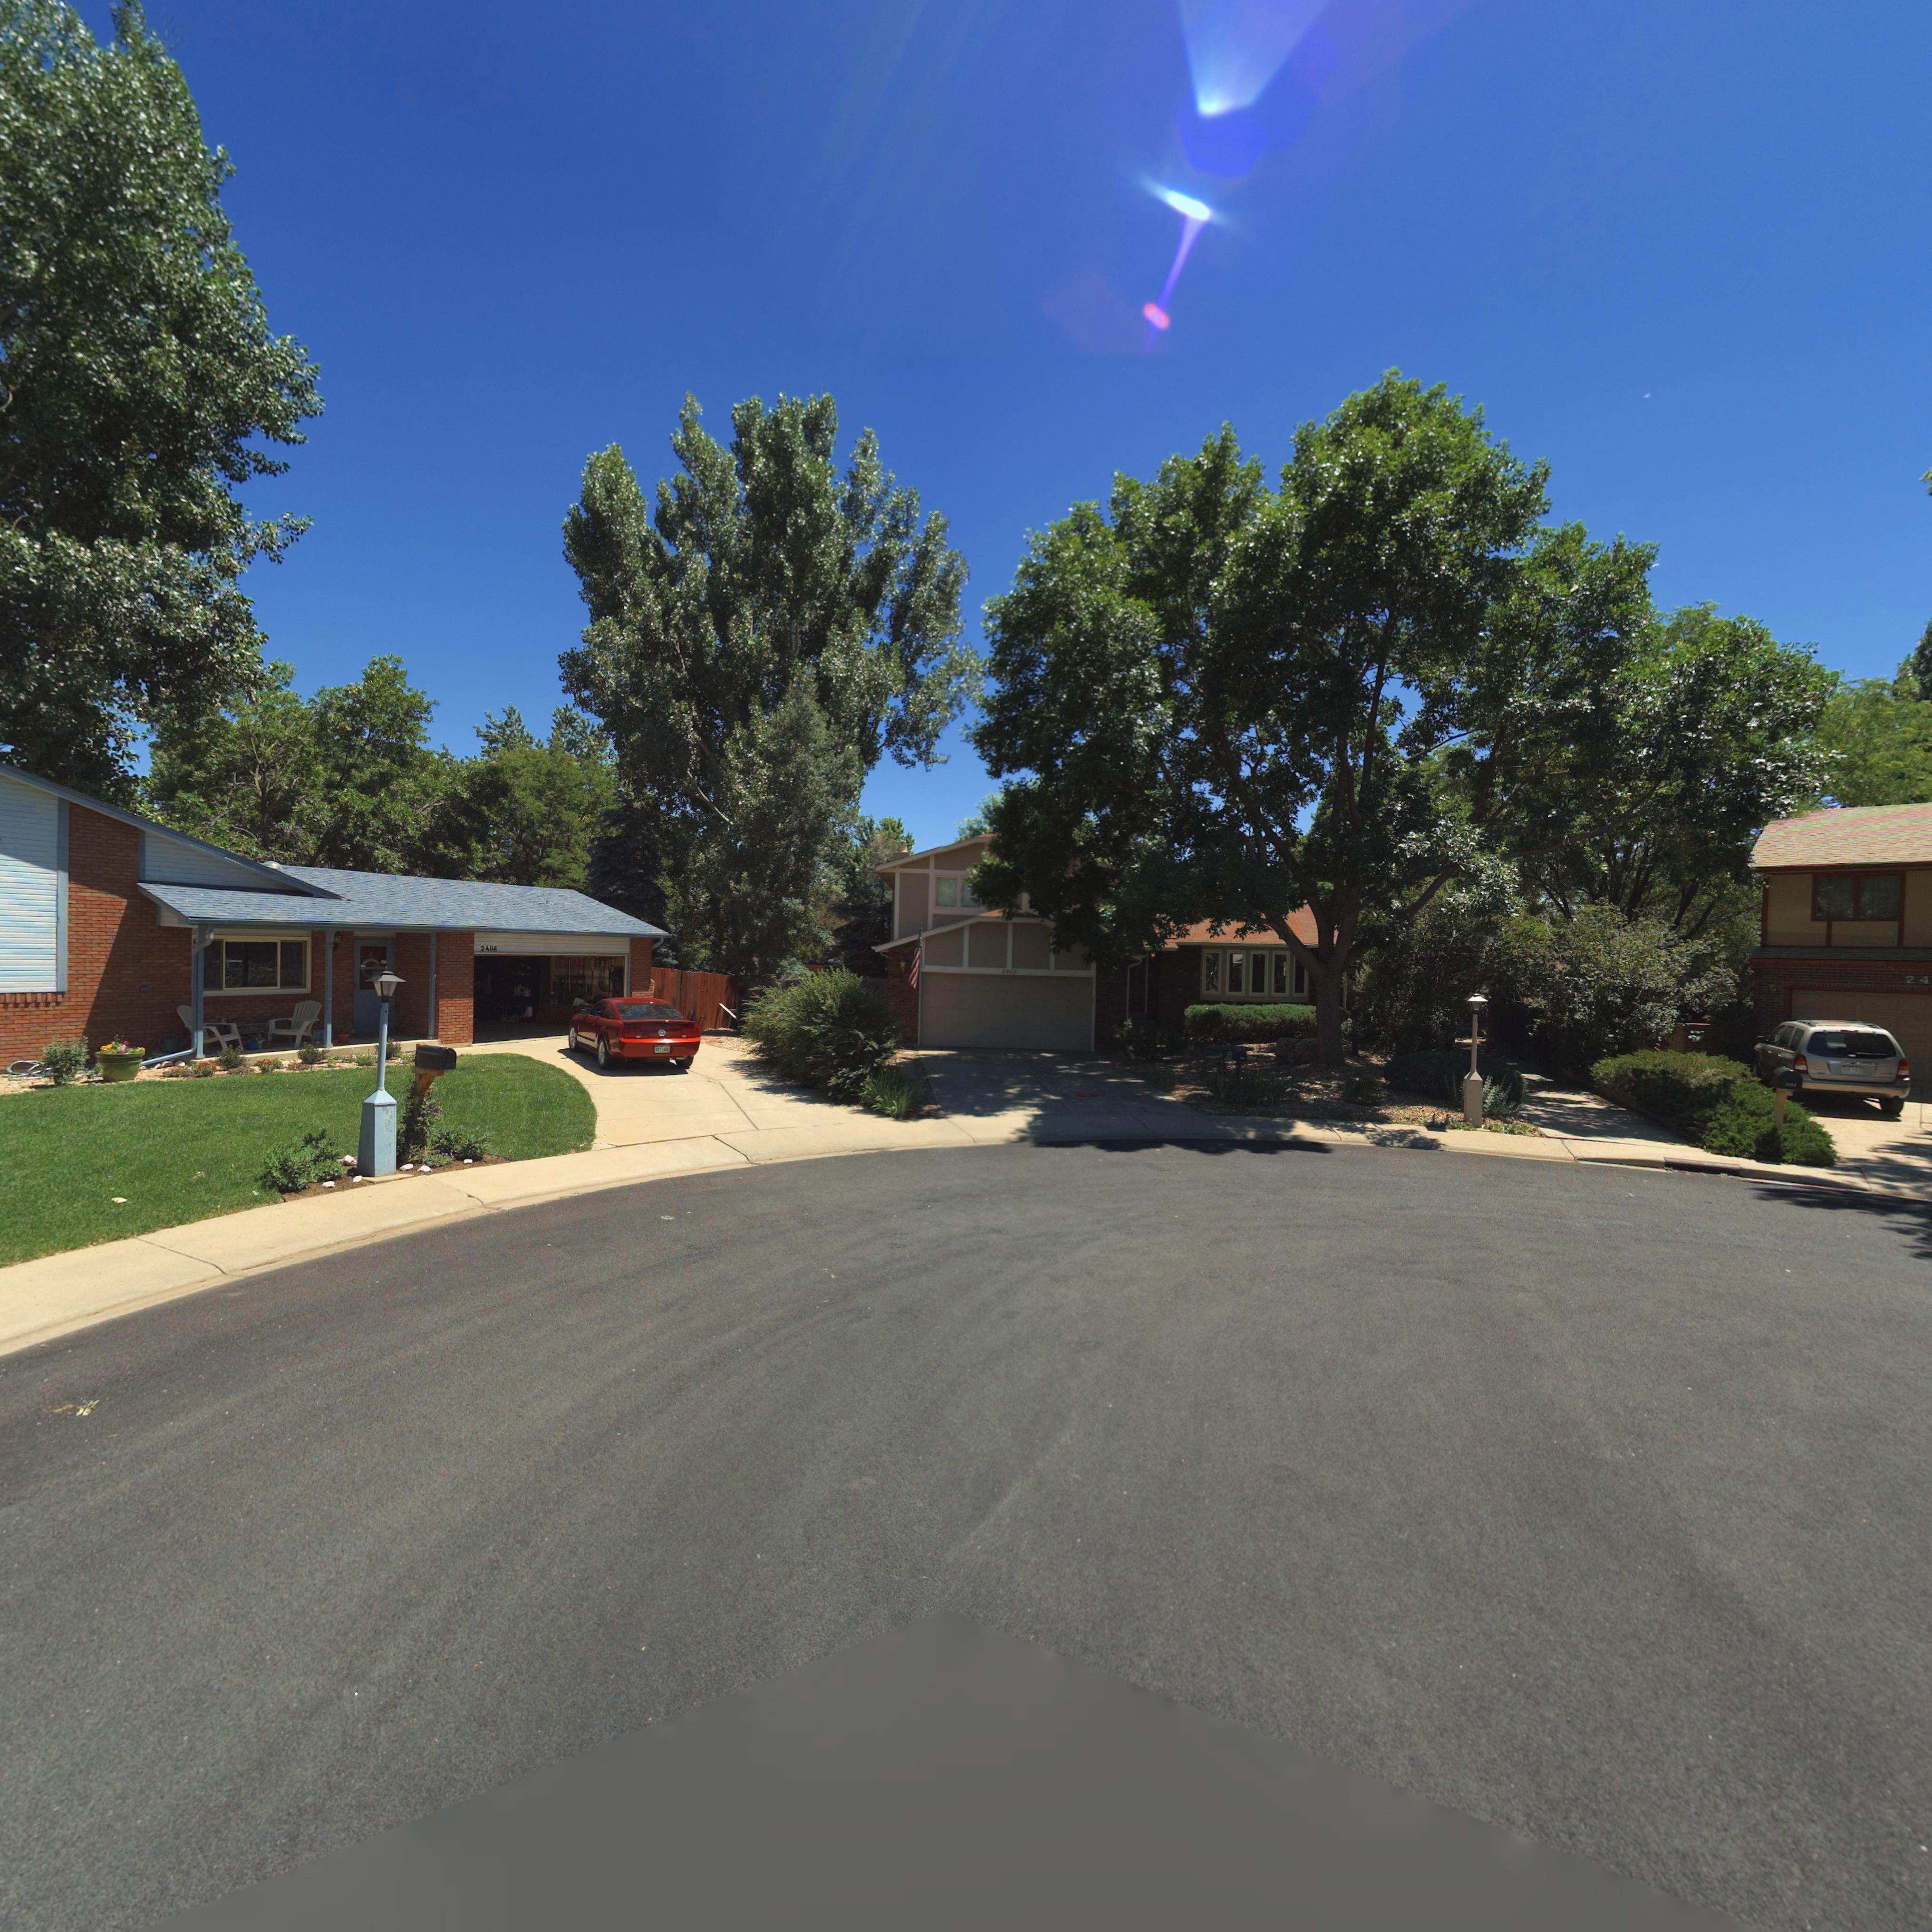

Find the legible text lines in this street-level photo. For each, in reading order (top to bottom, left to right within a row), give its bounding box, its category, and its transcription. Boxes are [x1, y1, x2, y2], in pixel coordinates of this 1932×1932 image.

[480, 945, 497, 952] StreetNumber: 2408
[1001, 968, 1017, 974] StreetNumber: 2402
[1905, 975, 1930, 985] StreetNumber: 24